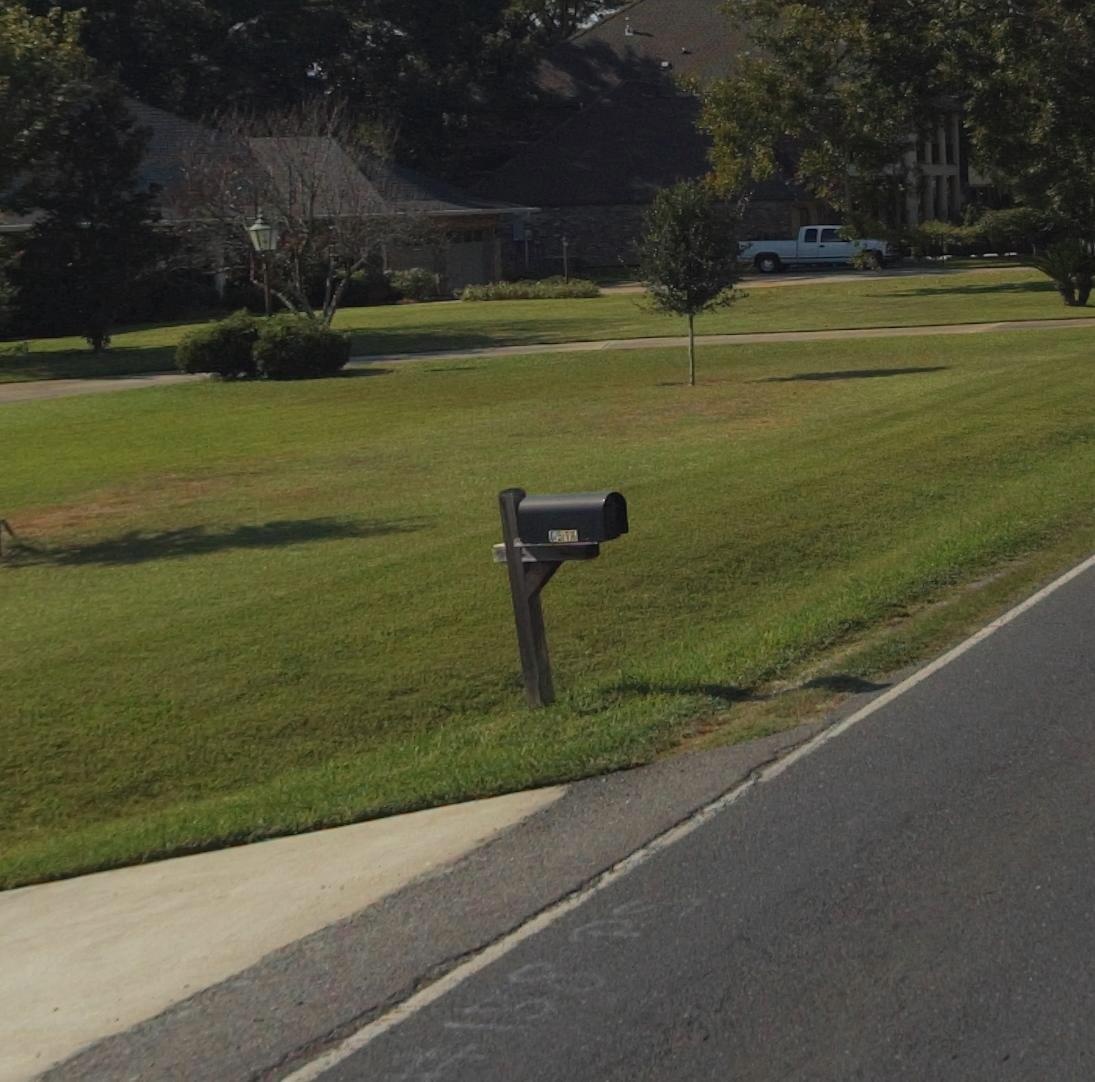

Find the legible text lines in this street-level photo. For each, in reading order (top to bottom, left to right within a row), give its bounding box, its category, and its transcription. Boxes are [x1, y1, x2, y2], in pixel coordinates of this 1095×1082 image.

[549, 530, 578, 542] StreetNumber: 6516